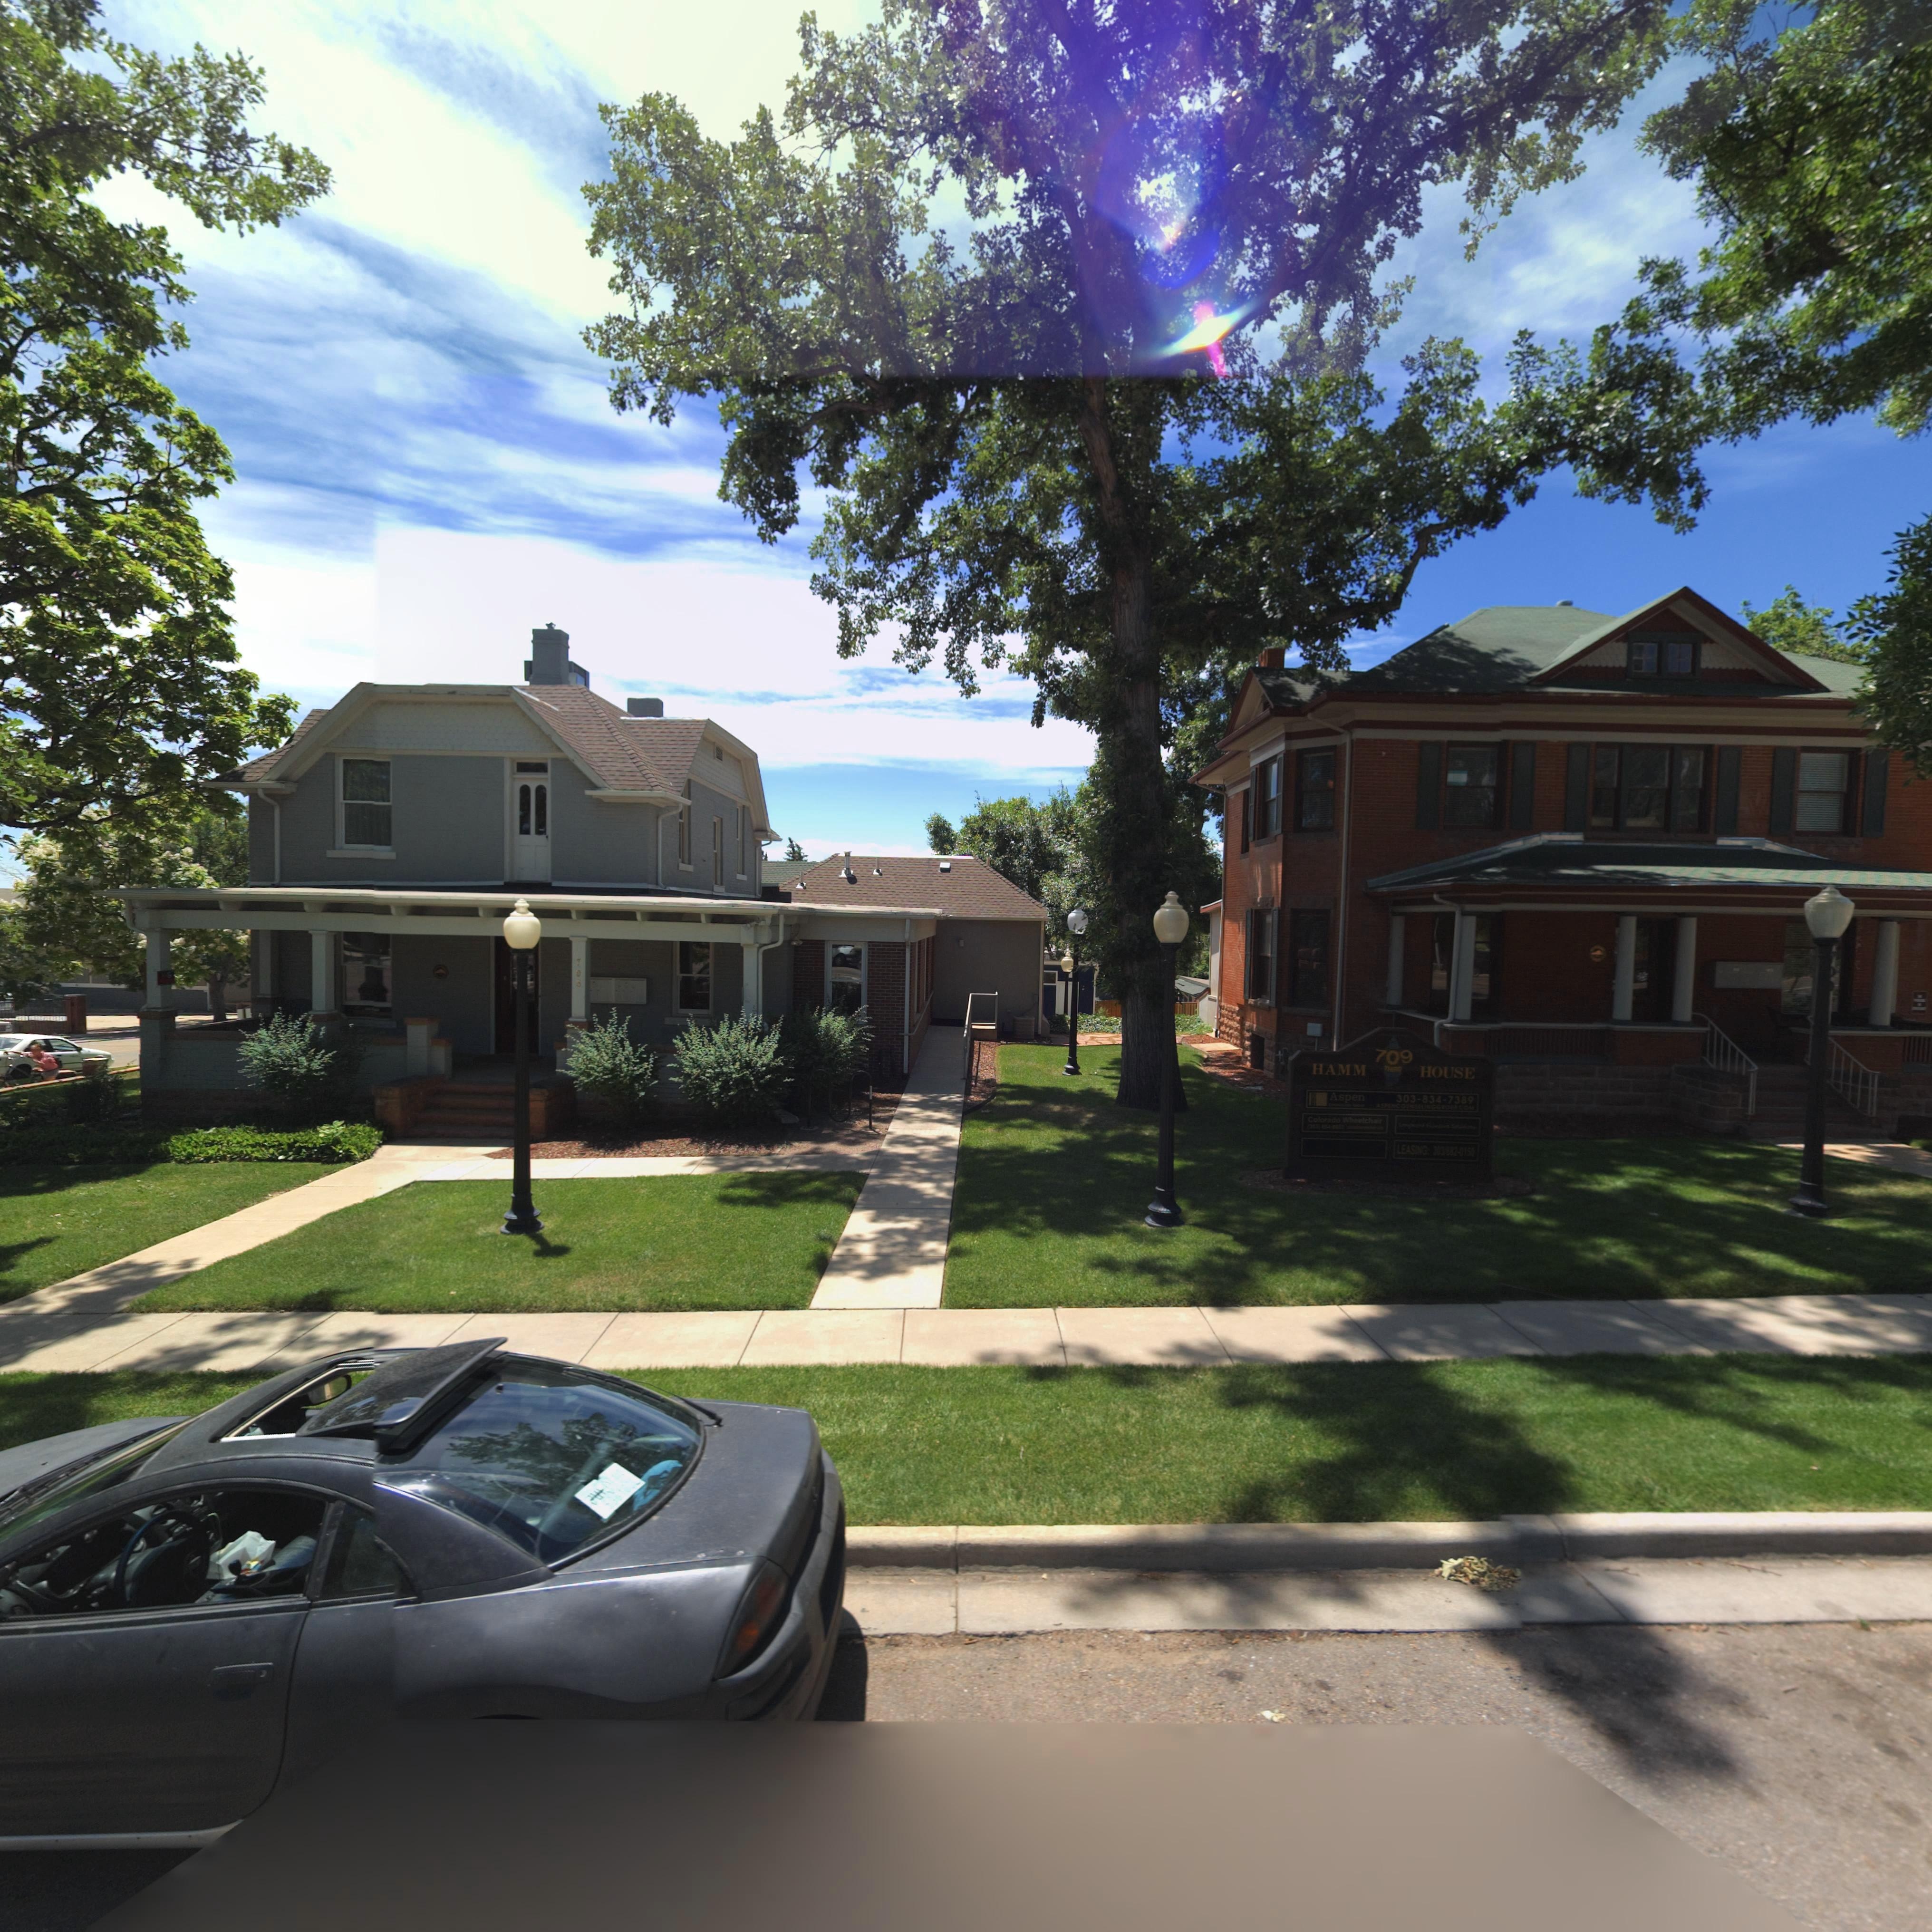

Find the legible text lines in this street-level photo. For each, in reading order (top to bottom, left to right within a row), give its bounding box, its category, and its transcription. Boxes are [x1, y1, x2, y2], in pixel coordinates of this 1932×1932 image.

[575, 958, 581, 988] StreetNumber: 703
[1374, 1048, 1414, 1065] StreetNumber: 709
[1384, 1065, 1402, 1072] StreetName: THIRD
[1330, 1092, 1364, 1103] BusinessName: Aspen
[1308, 1116, 1383, 1124] BusinessName: Colorado Wheelchair
[1398, 1122, 1476, 1130] BusinessName: L**g**** S****** S******